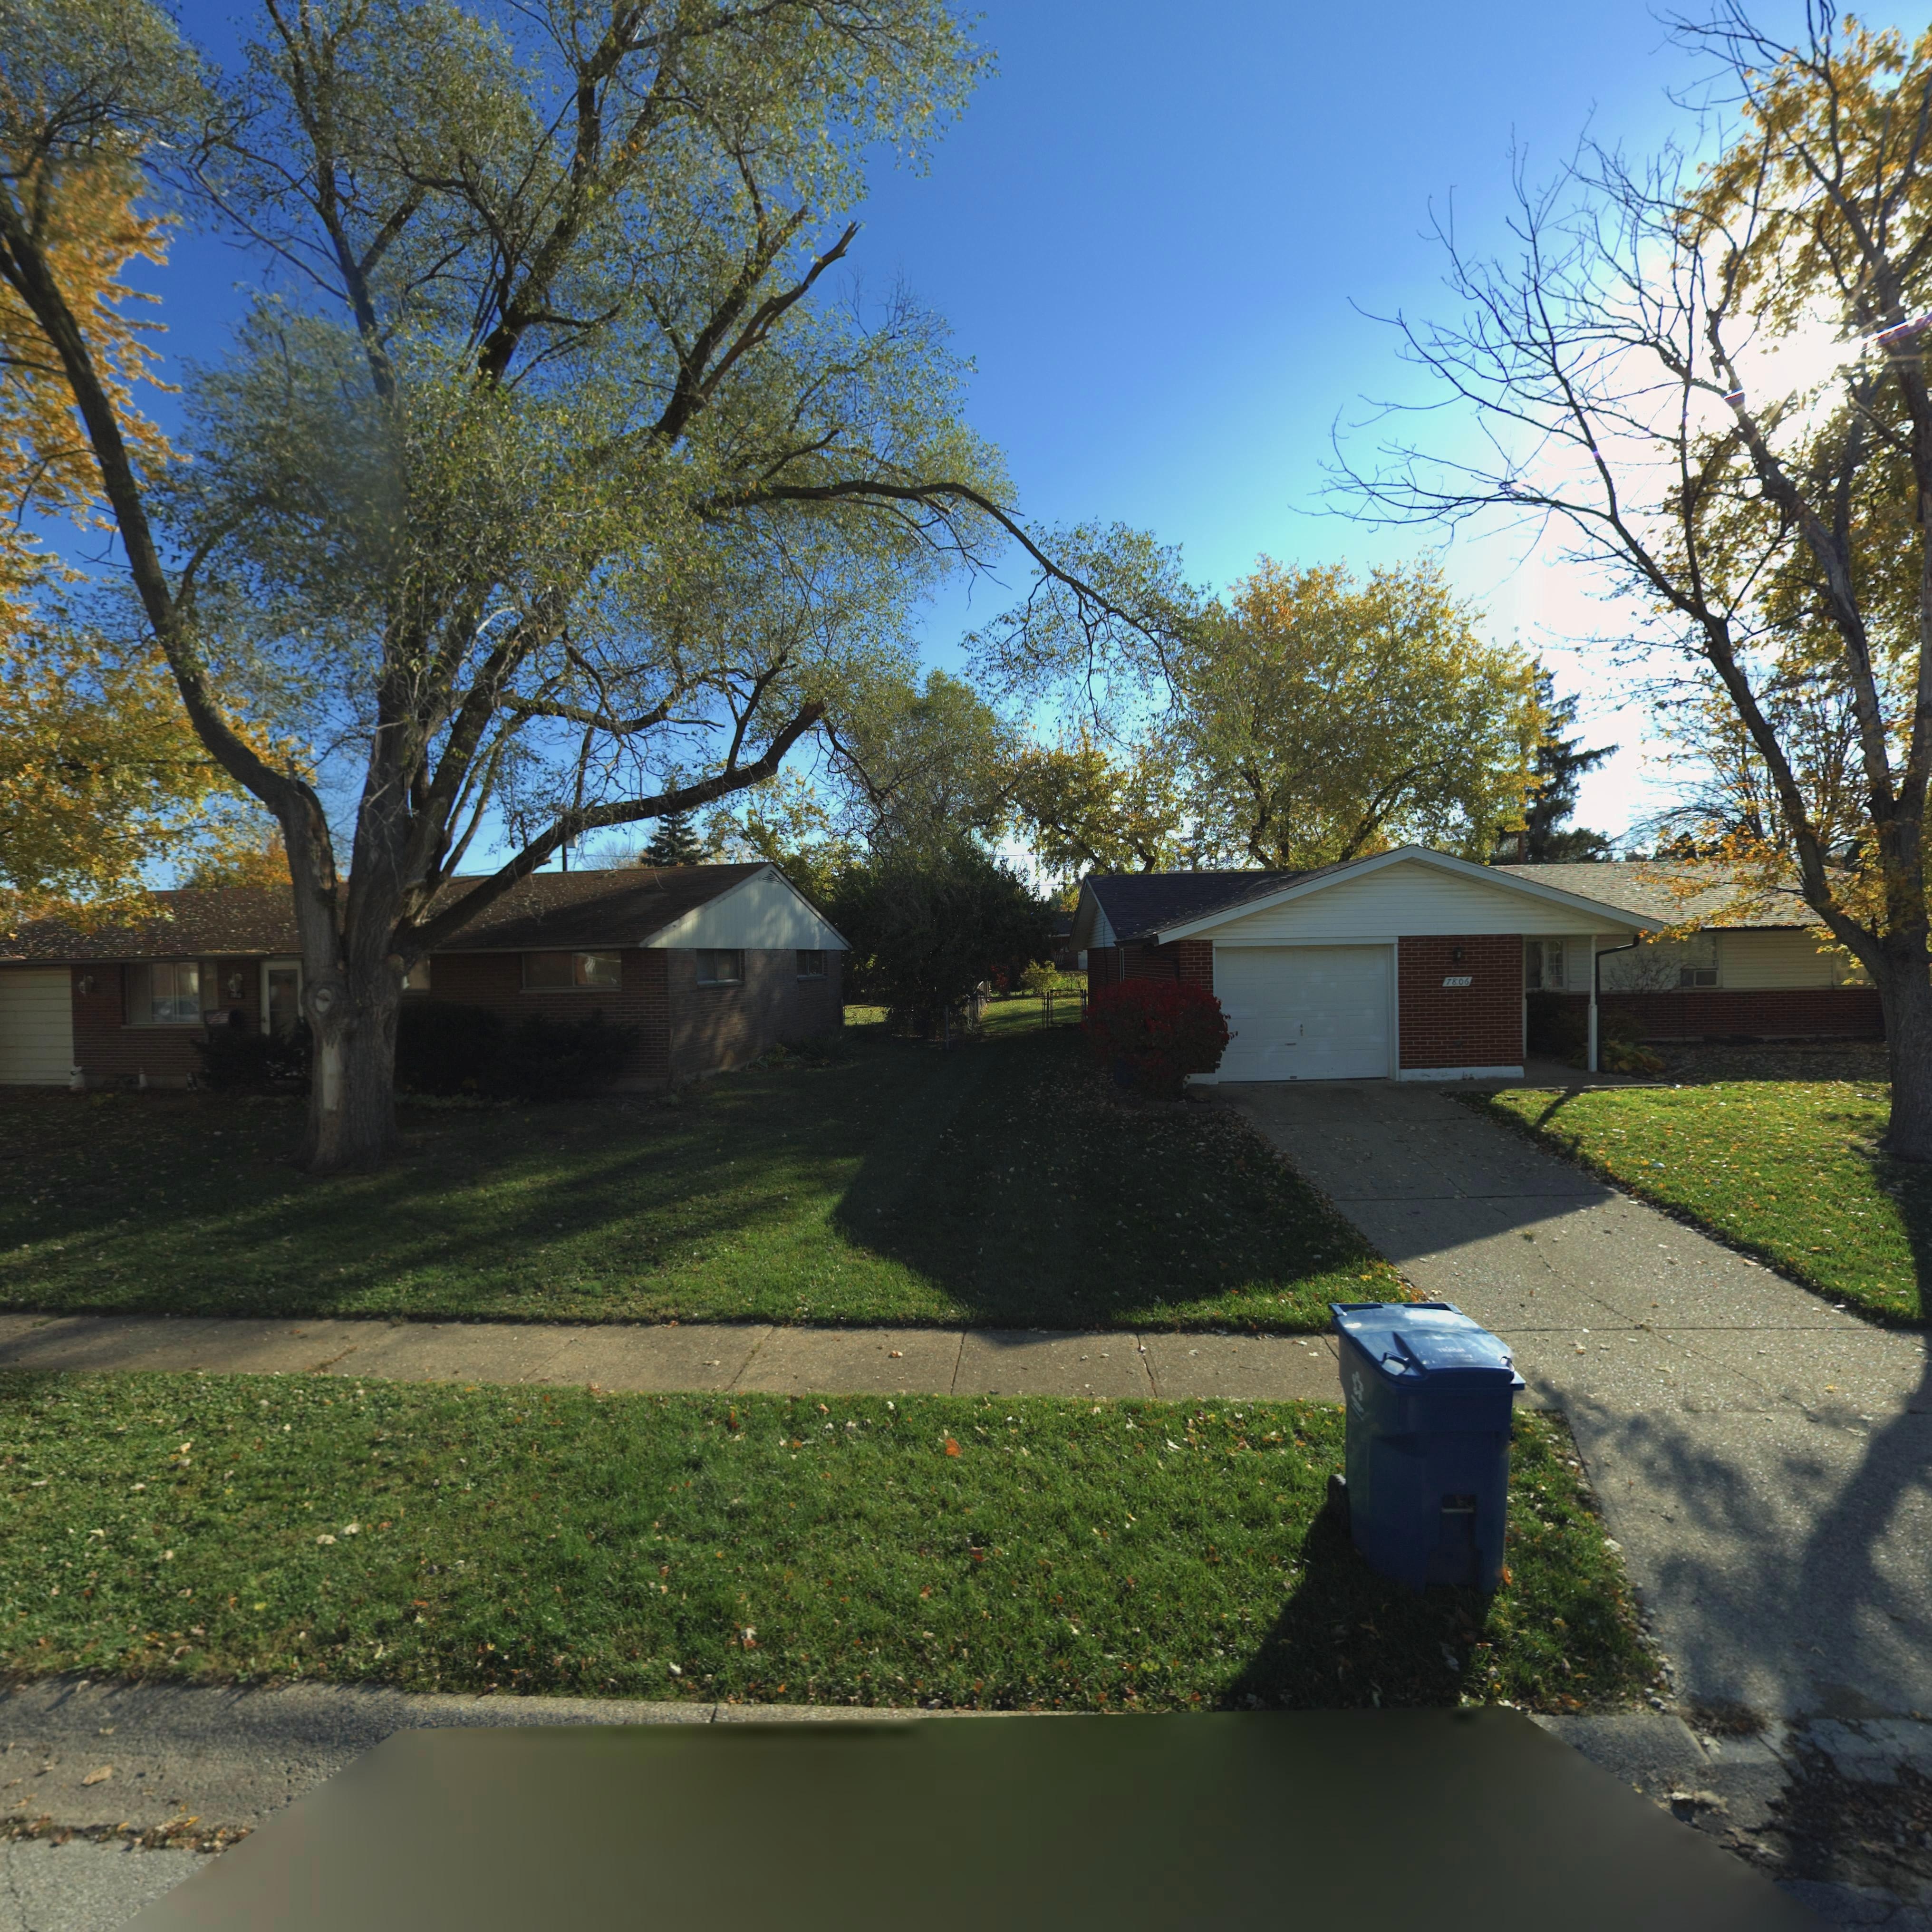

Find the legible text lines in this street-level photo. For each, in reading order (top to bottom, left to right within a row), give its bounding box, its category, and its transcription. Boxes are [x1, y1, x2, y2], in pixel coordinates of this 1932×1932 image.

[1445, 977, 1470, 987] StreetNumber: 7806